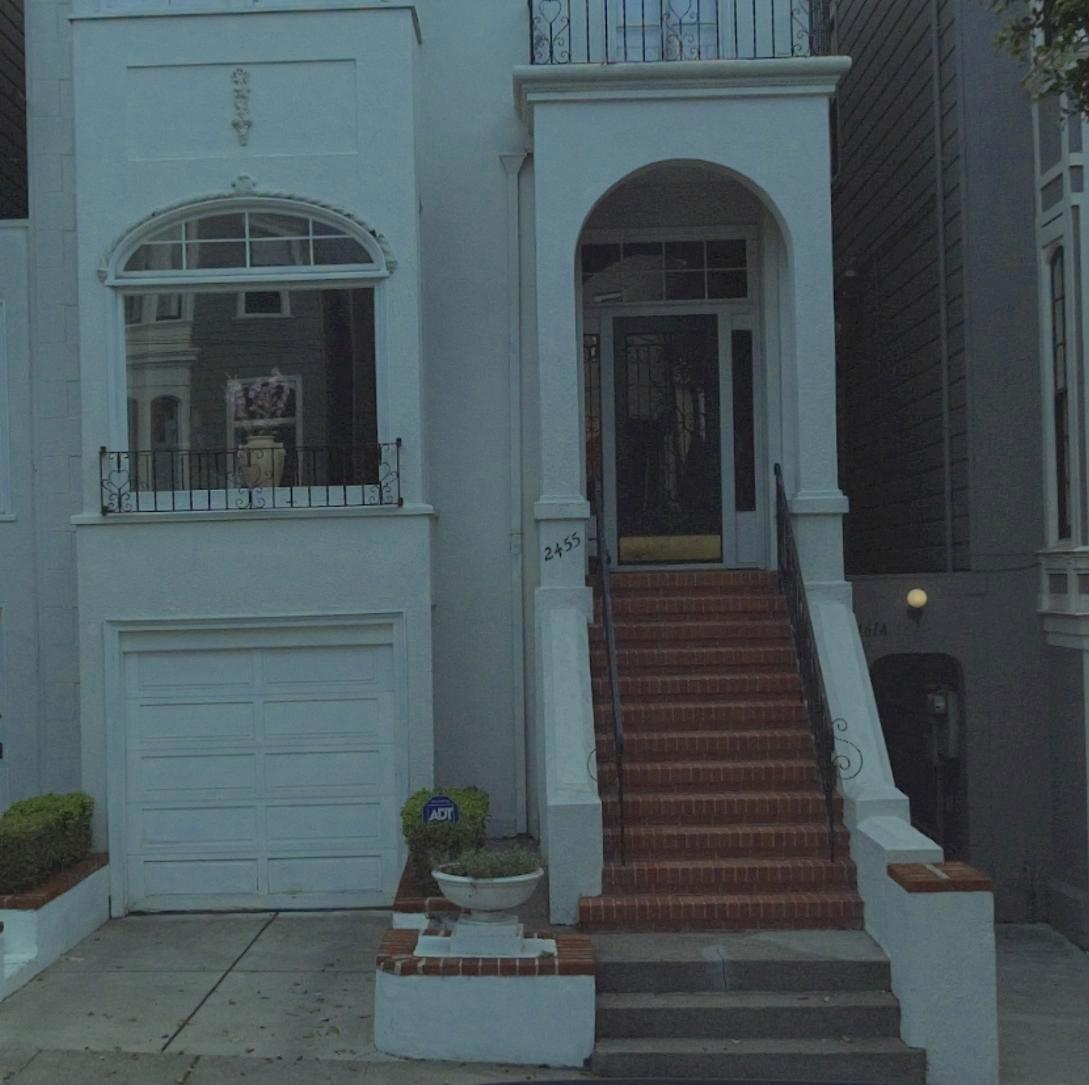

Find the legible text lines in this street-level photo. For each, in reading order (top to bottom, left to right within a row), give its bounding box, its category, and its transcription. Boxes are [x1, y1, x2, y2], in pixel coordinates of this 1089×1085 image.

[542, 527, 583, 564] StreetNumber: 2455
[861, 619, 890, 640] StreetNumber: 61 A
[427, 804, 456, 823] None: ADT